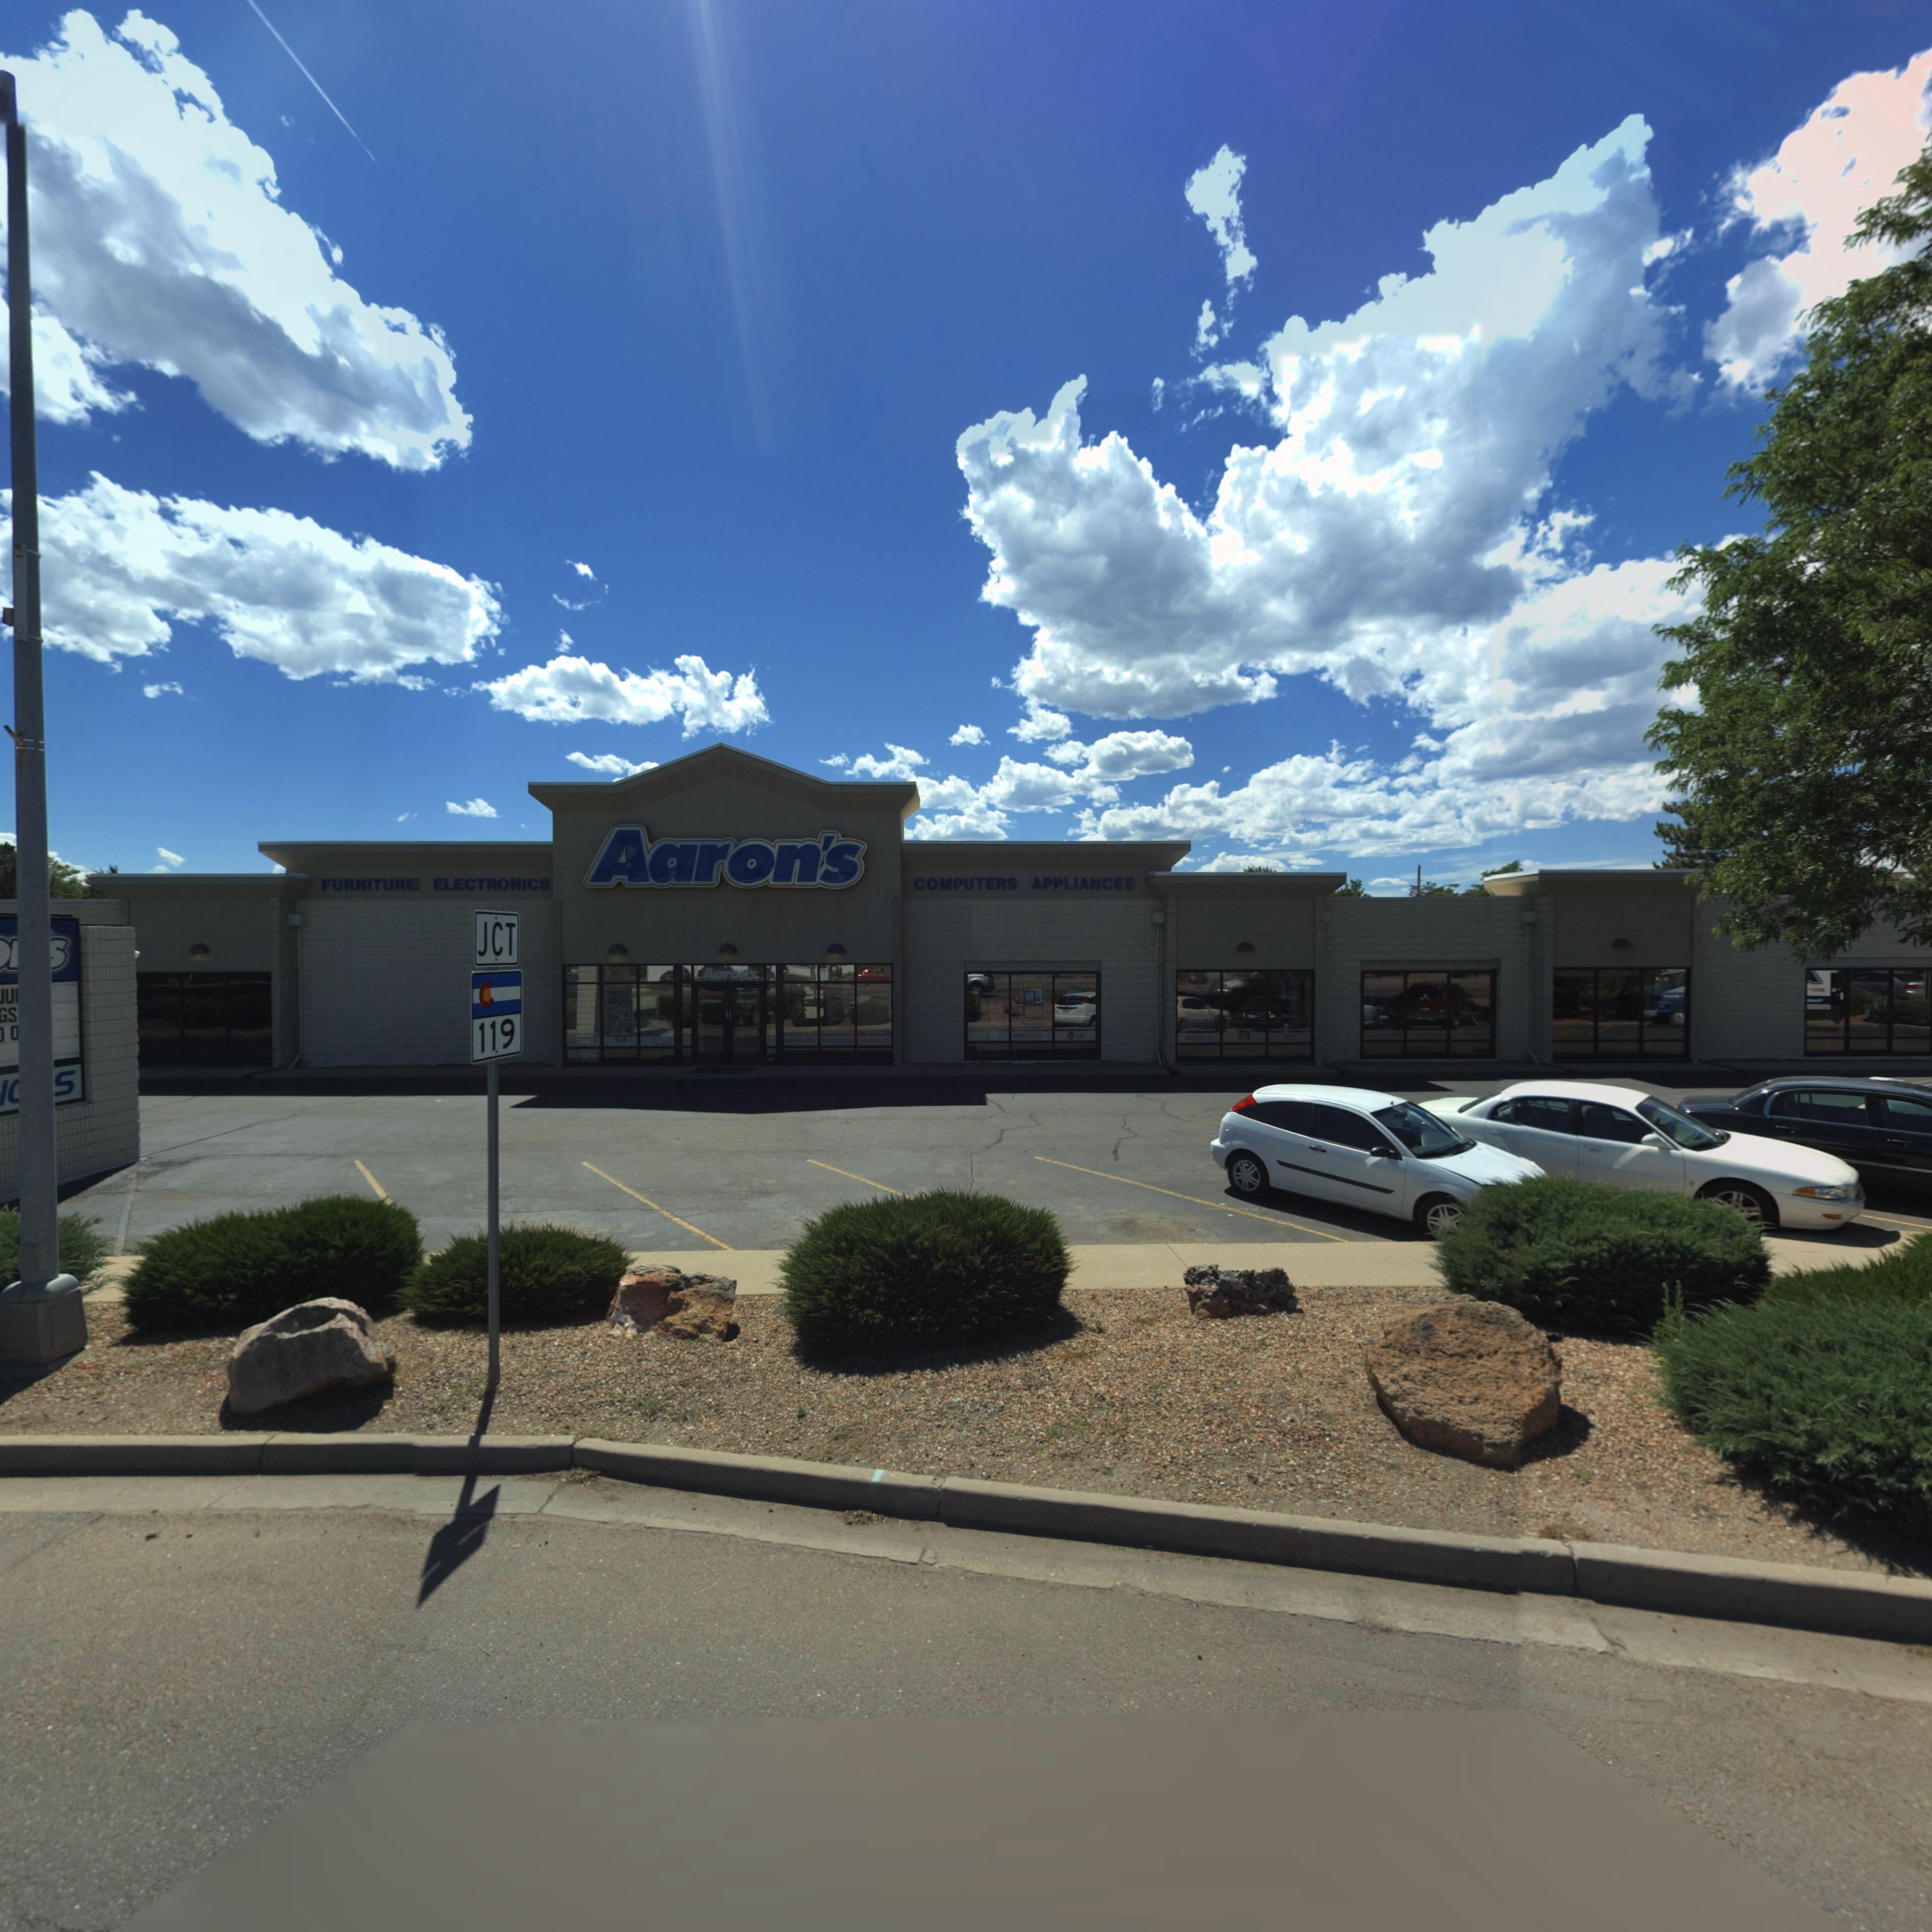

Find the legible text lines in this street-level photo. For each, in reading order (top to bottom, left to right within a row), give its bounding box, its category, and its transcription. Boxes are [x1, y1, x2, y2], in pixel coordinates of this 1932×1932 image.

[580, 821, 869, 889] BusinessName: Aaron*s
[699, 966, 759, 980] BusinessName: Aaron*s